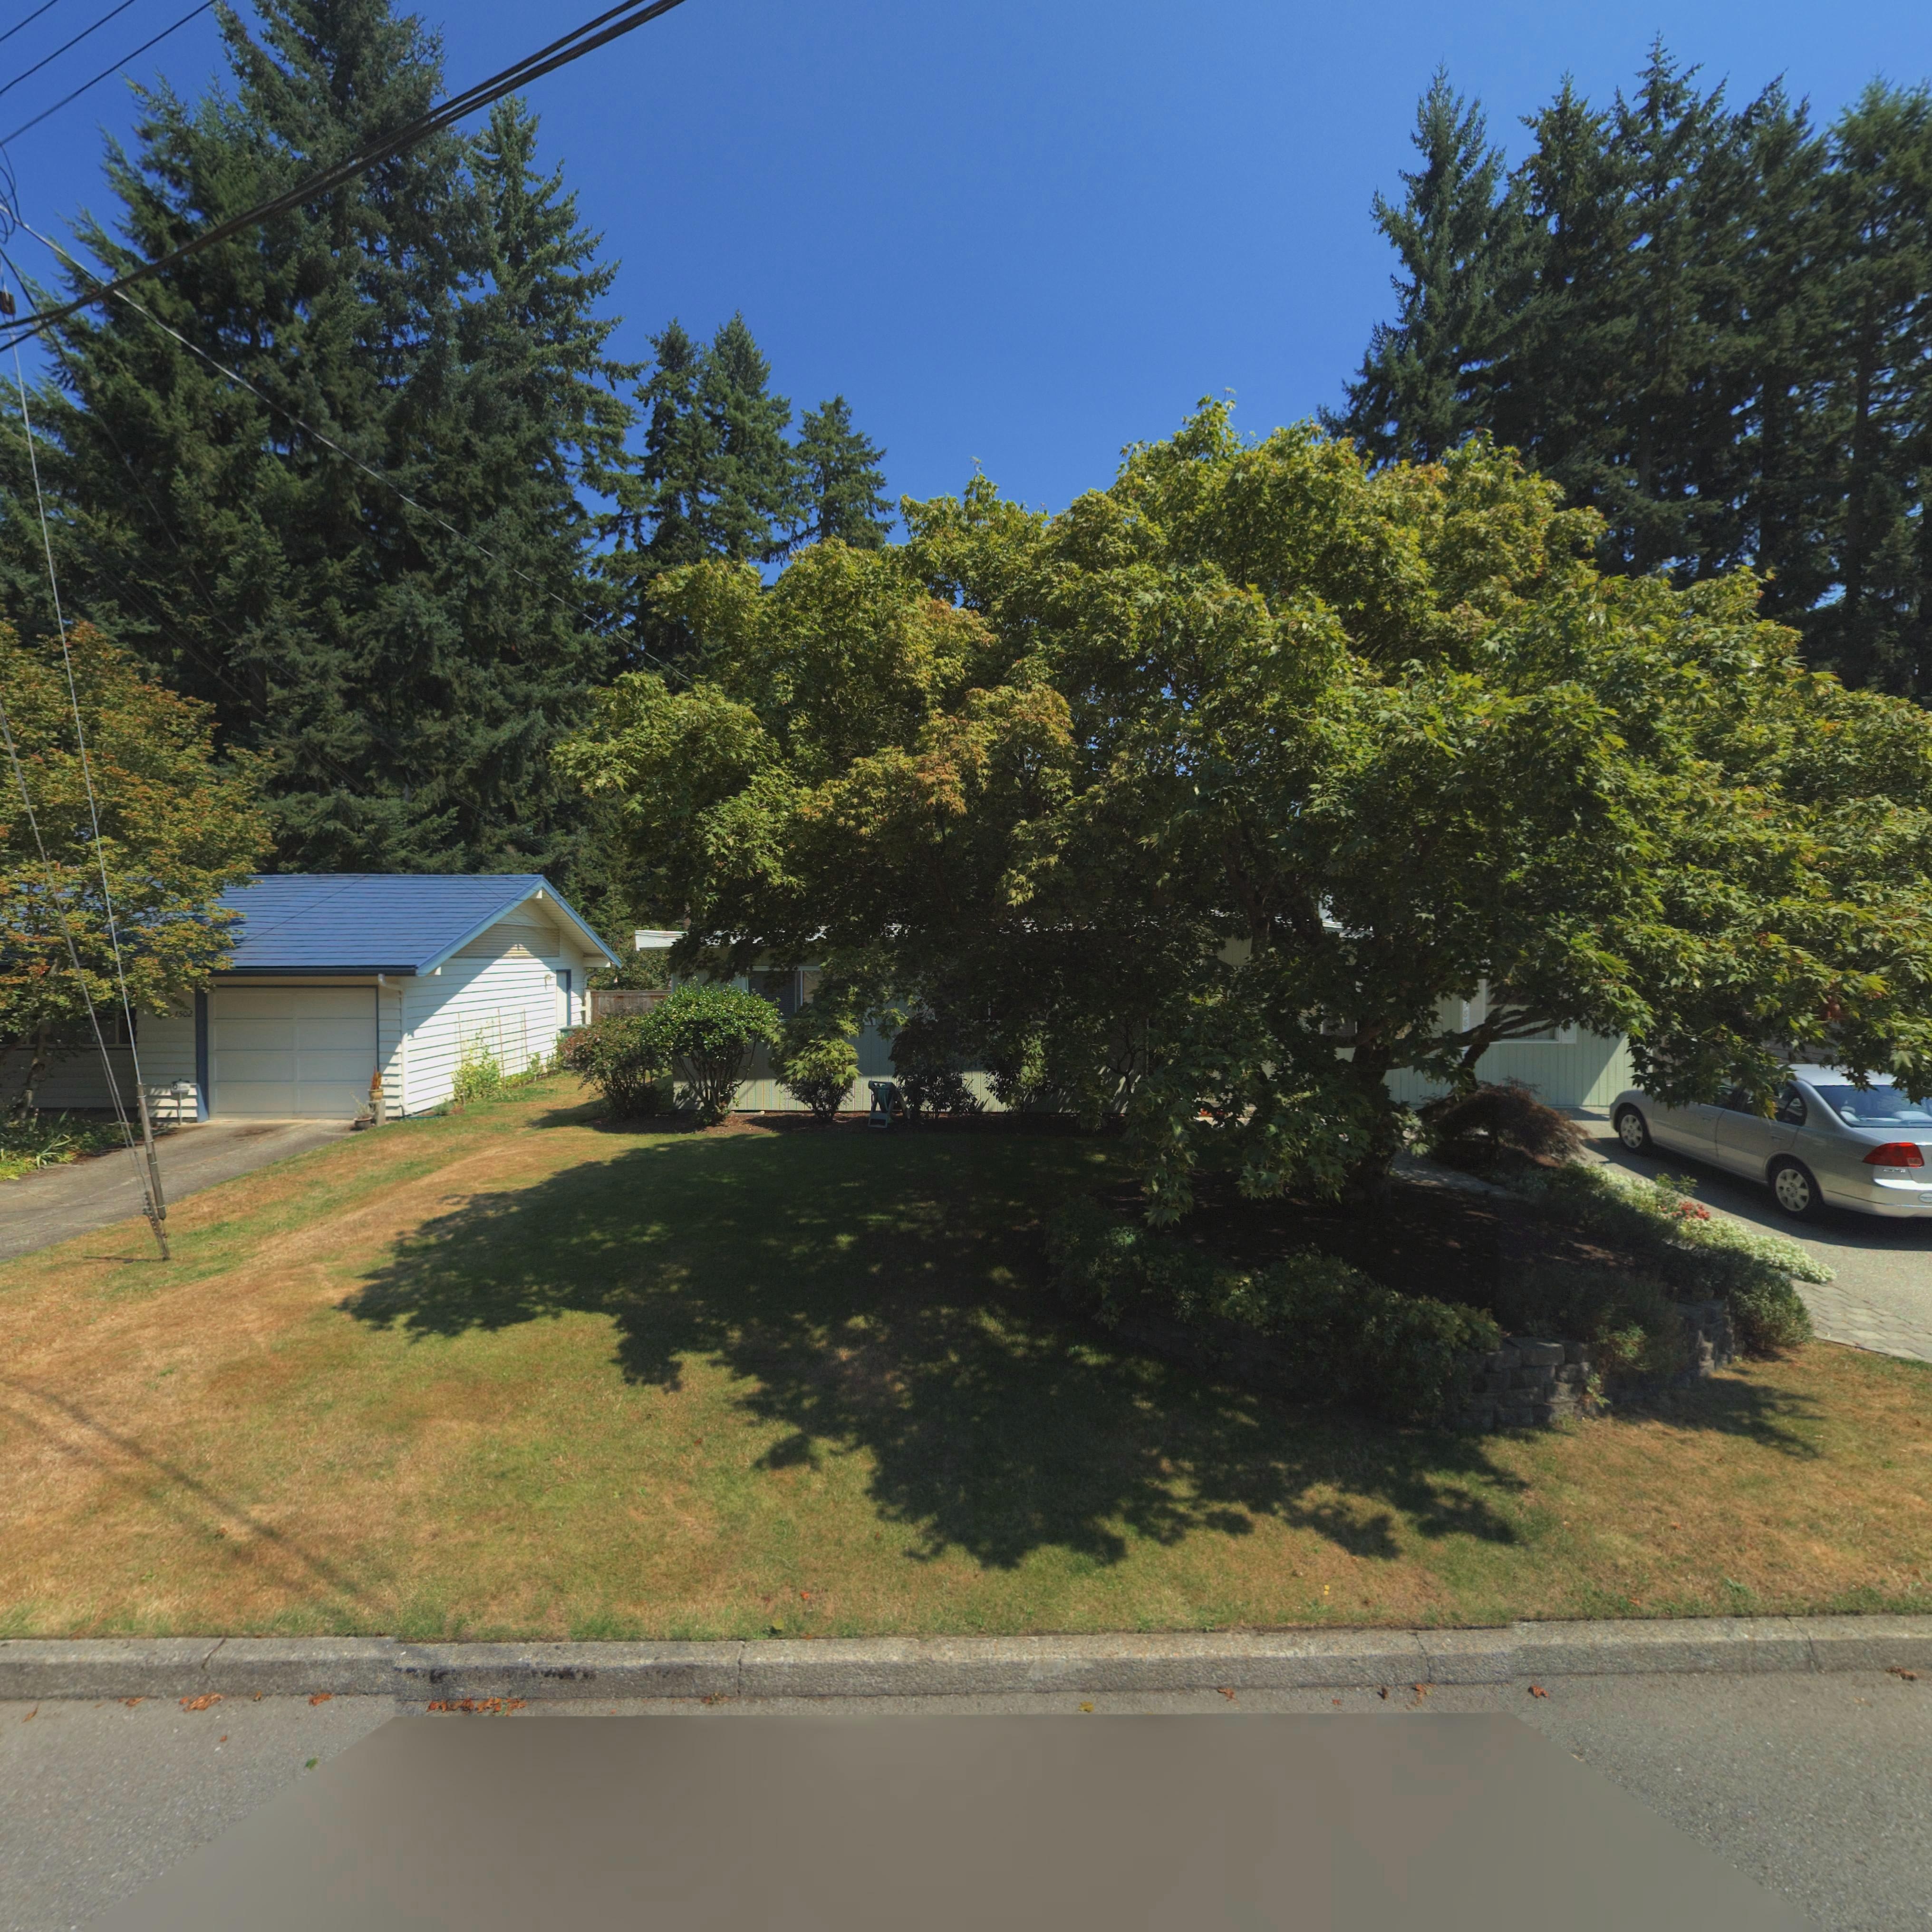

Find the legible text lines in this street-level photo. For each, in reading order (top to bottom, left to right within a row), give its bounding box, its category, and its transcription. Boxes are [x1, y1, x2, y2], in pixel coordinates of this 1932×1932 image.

[173, 1009, 193, 1019] StreetNumber: 1502